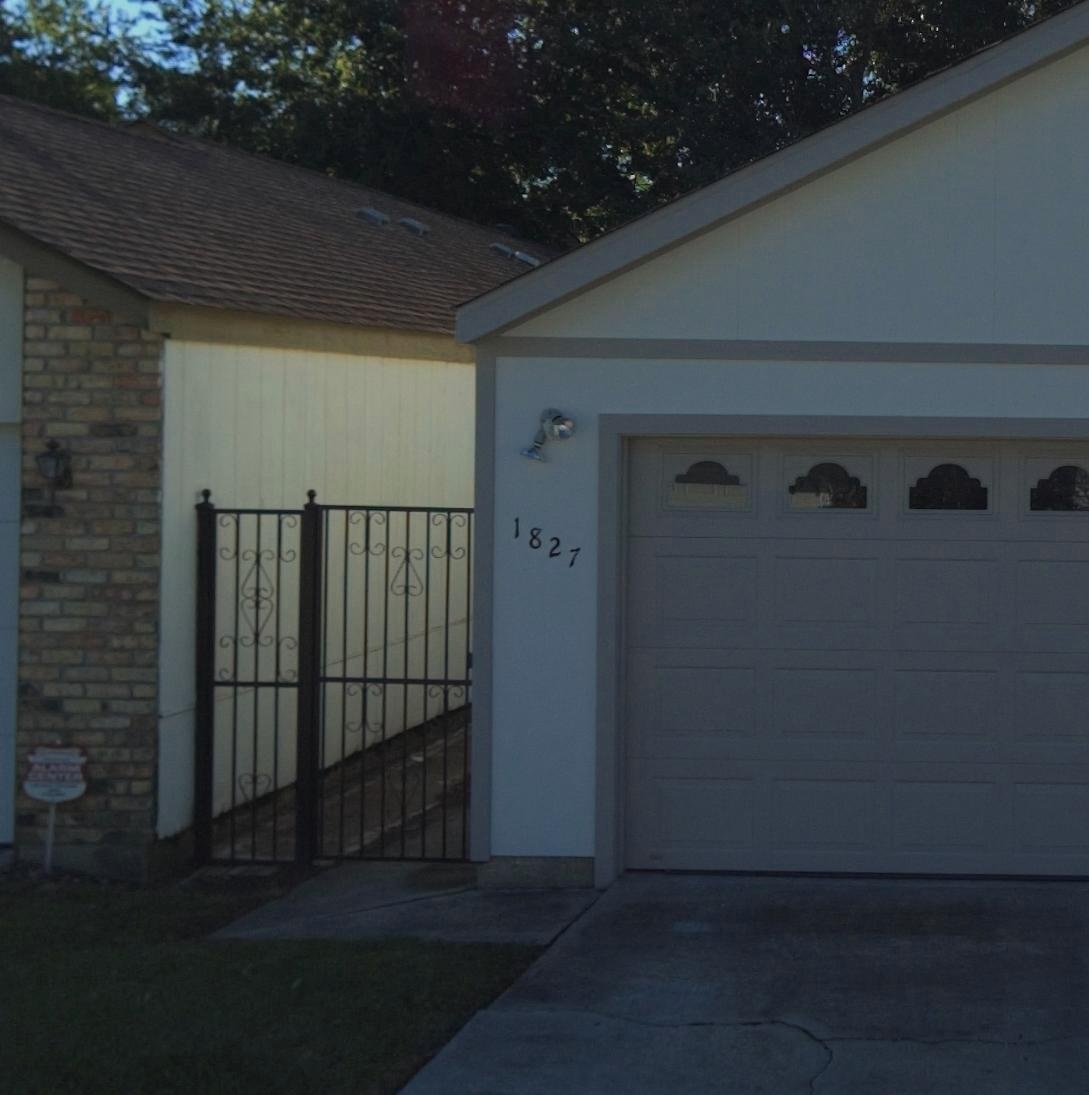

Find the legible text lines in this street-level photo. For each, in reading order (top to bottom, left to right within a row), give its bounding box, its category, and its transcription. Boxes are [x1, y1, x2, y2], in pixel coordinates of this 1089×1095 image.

[512, 515, 584, 570] StreetNumber: 1827